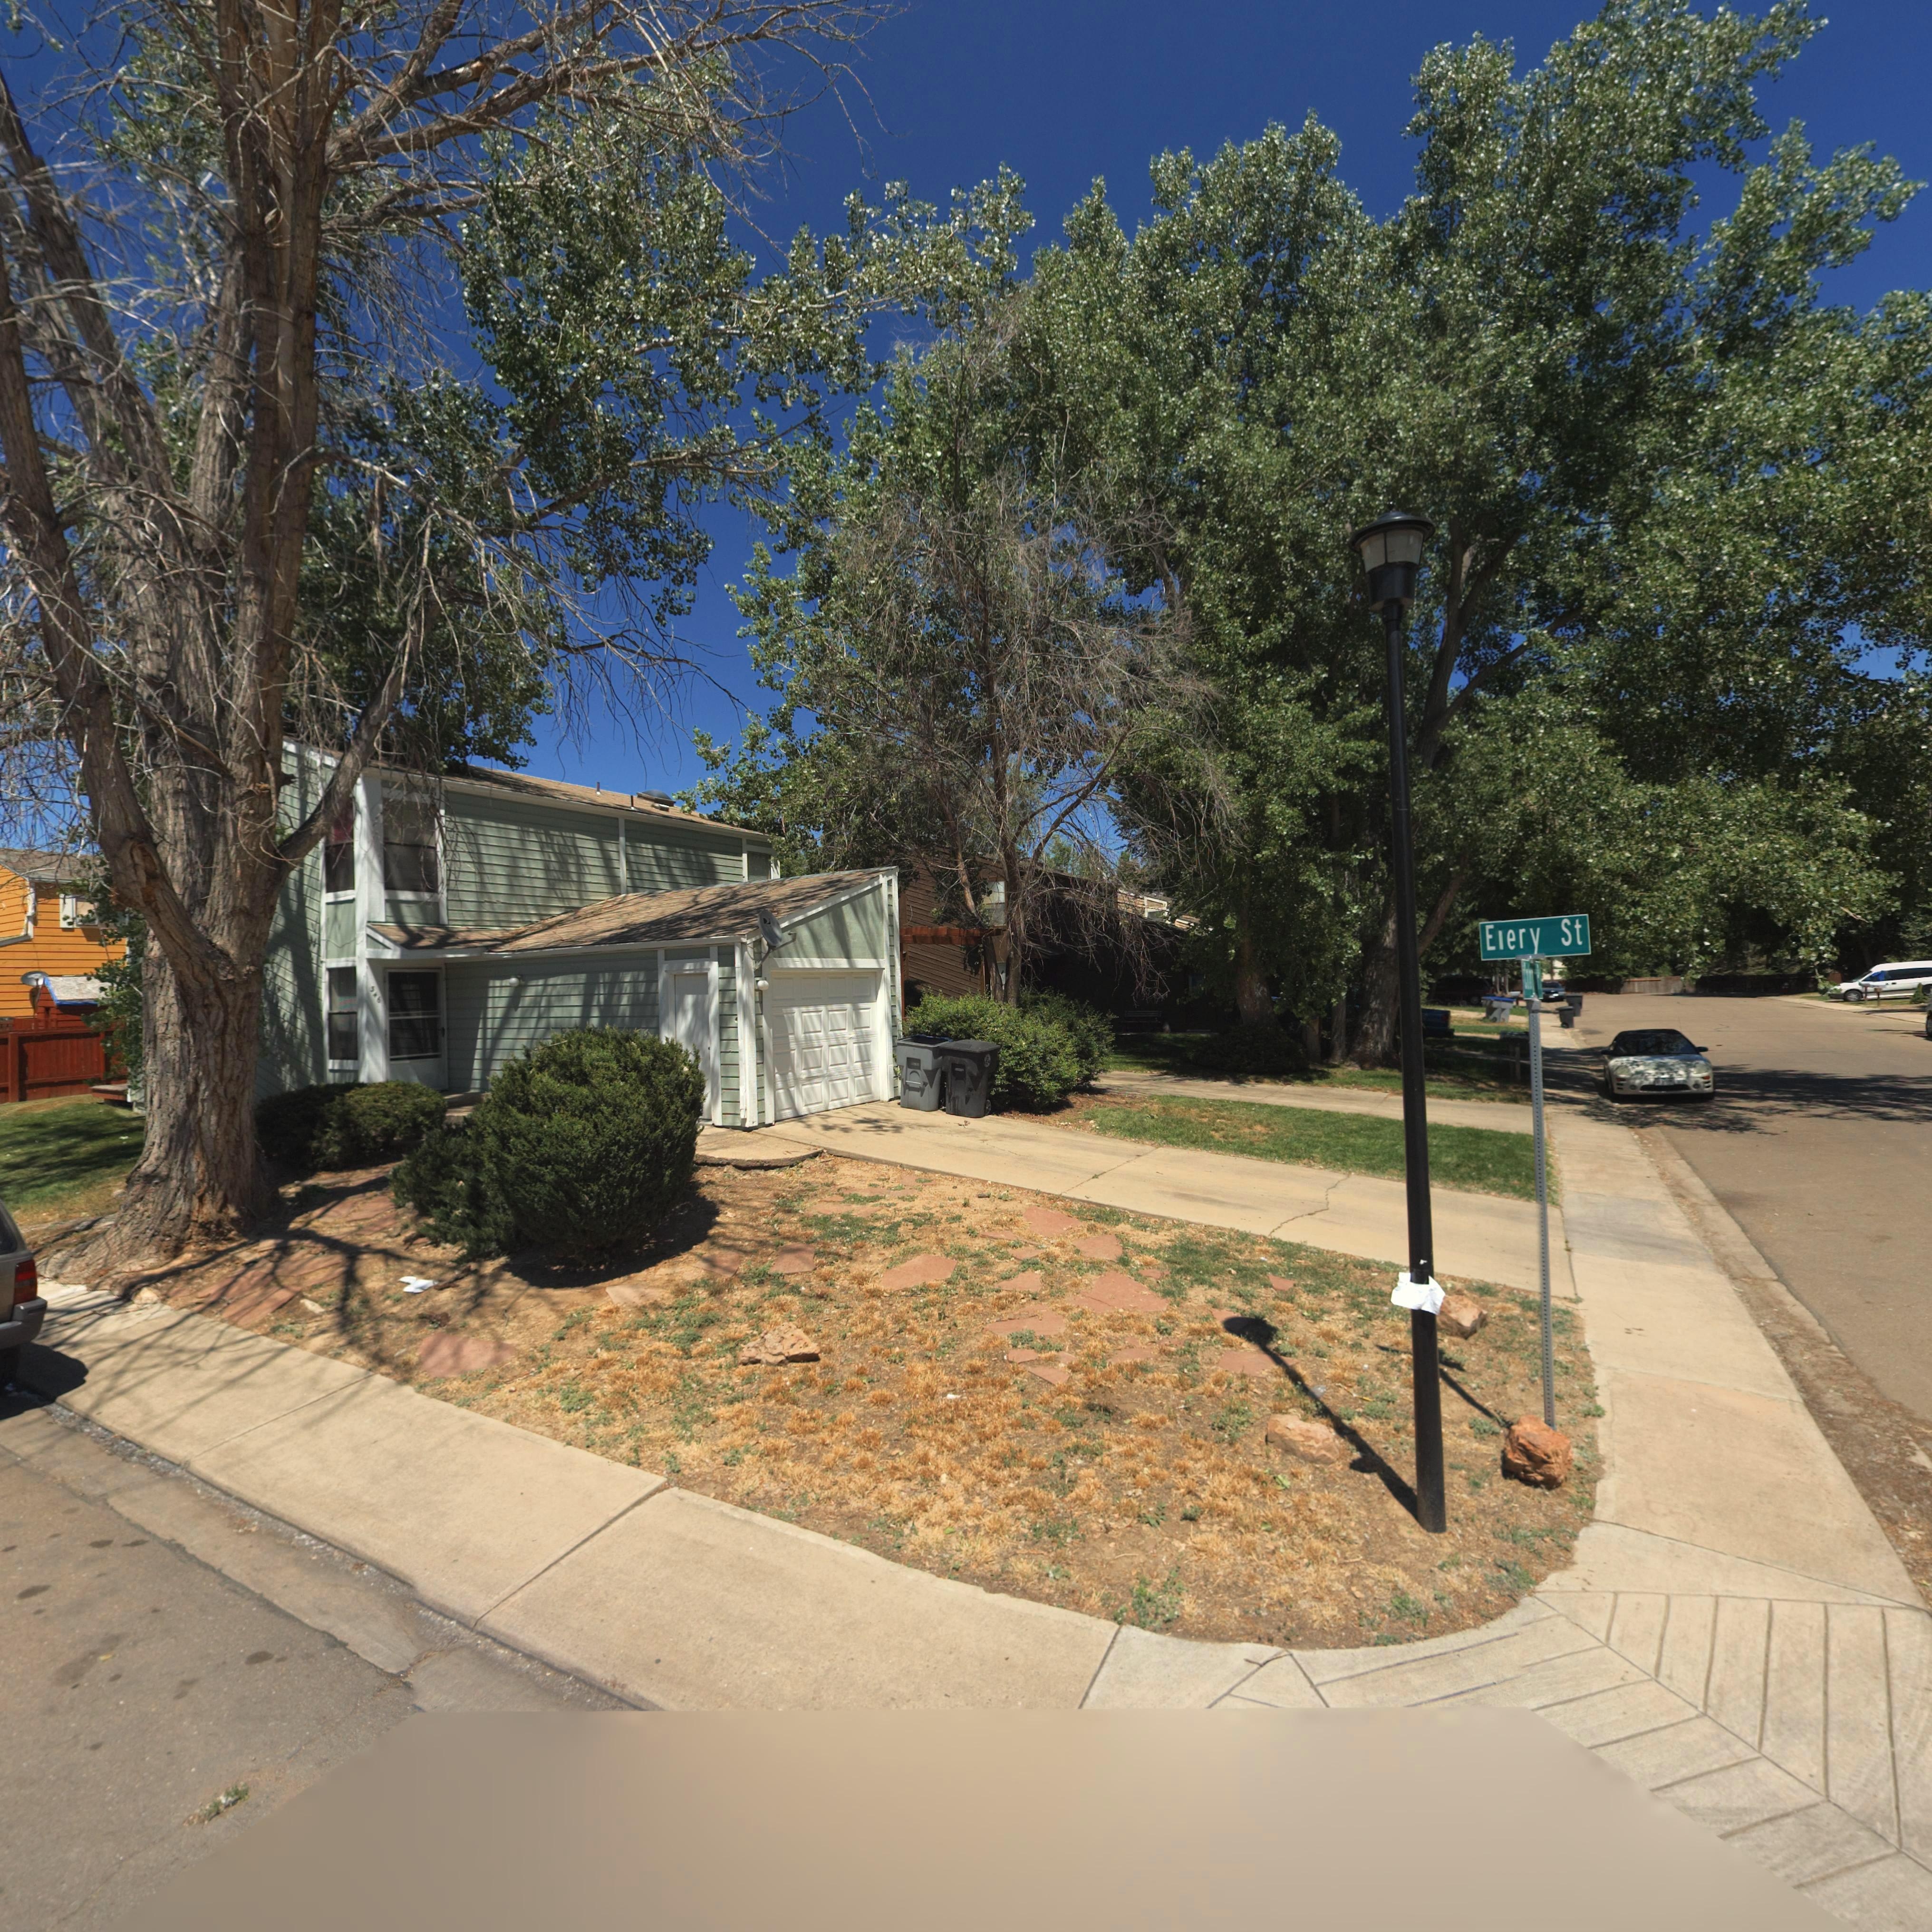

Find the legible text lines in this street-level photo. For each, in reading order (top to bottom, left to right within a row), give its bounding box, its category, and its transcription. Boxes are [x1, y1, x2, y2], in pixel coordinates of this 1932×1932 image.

[1483, 917, 1584, 956] StreetName: Elery St
[369, 985, 382, 1004] StreetNumber: 3*6